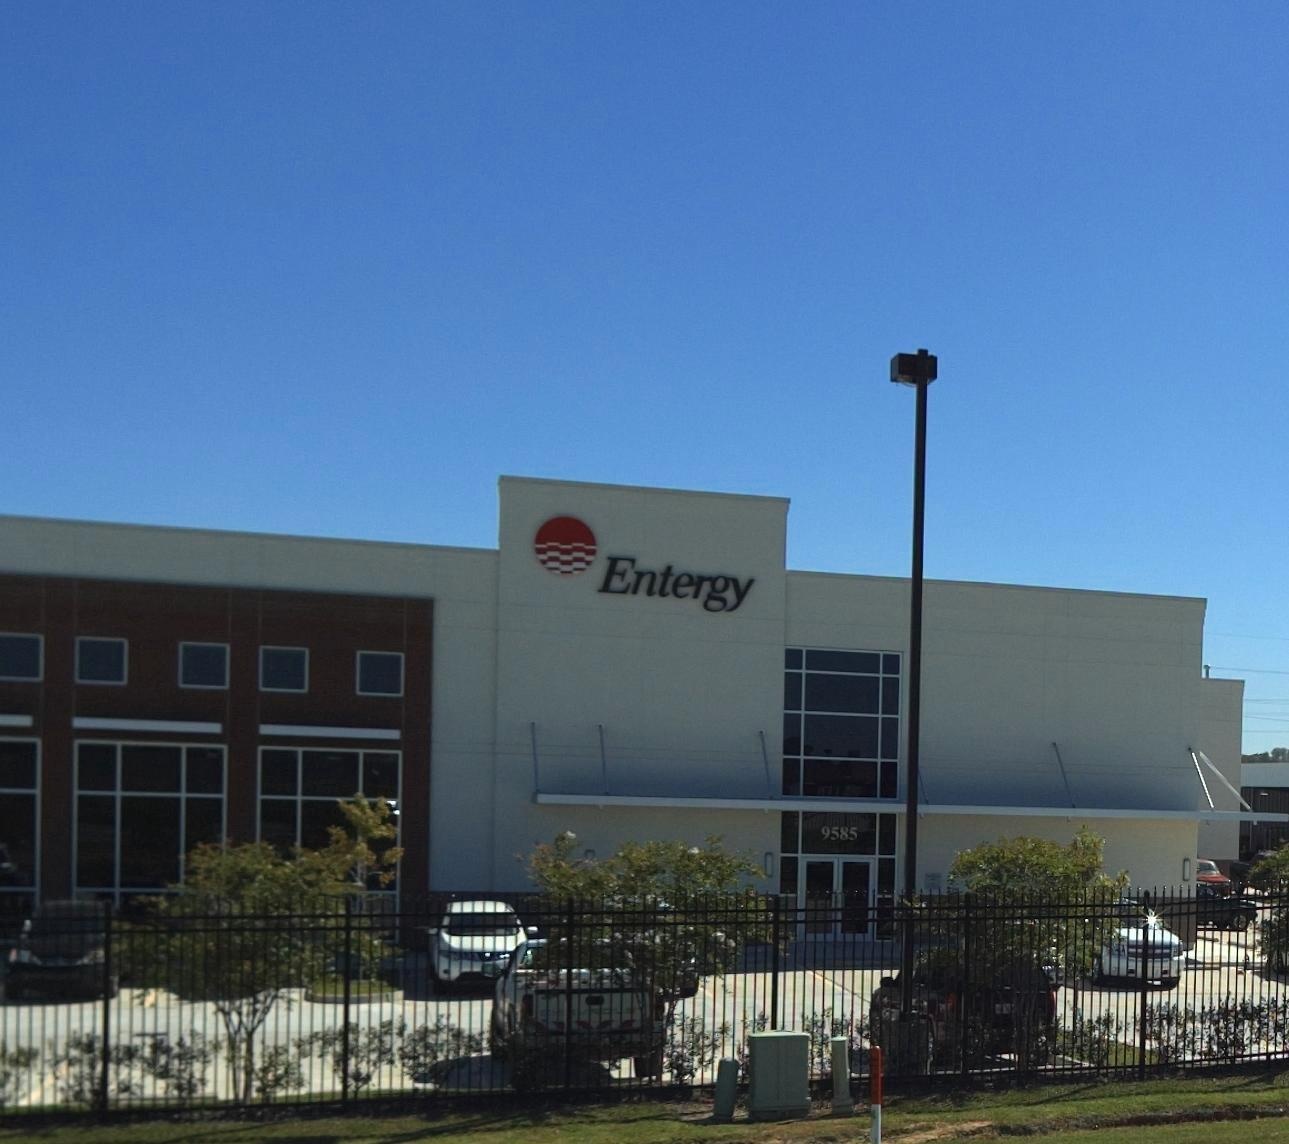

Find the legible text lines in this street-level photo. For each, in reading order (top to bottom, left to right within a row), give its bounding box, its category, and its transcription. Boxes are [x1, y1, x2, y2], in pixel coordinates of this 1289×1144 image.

[596, 554, 757, 615] BusinessName: Entergy
[820, 824, 859, 842] StreetNumber: 9585